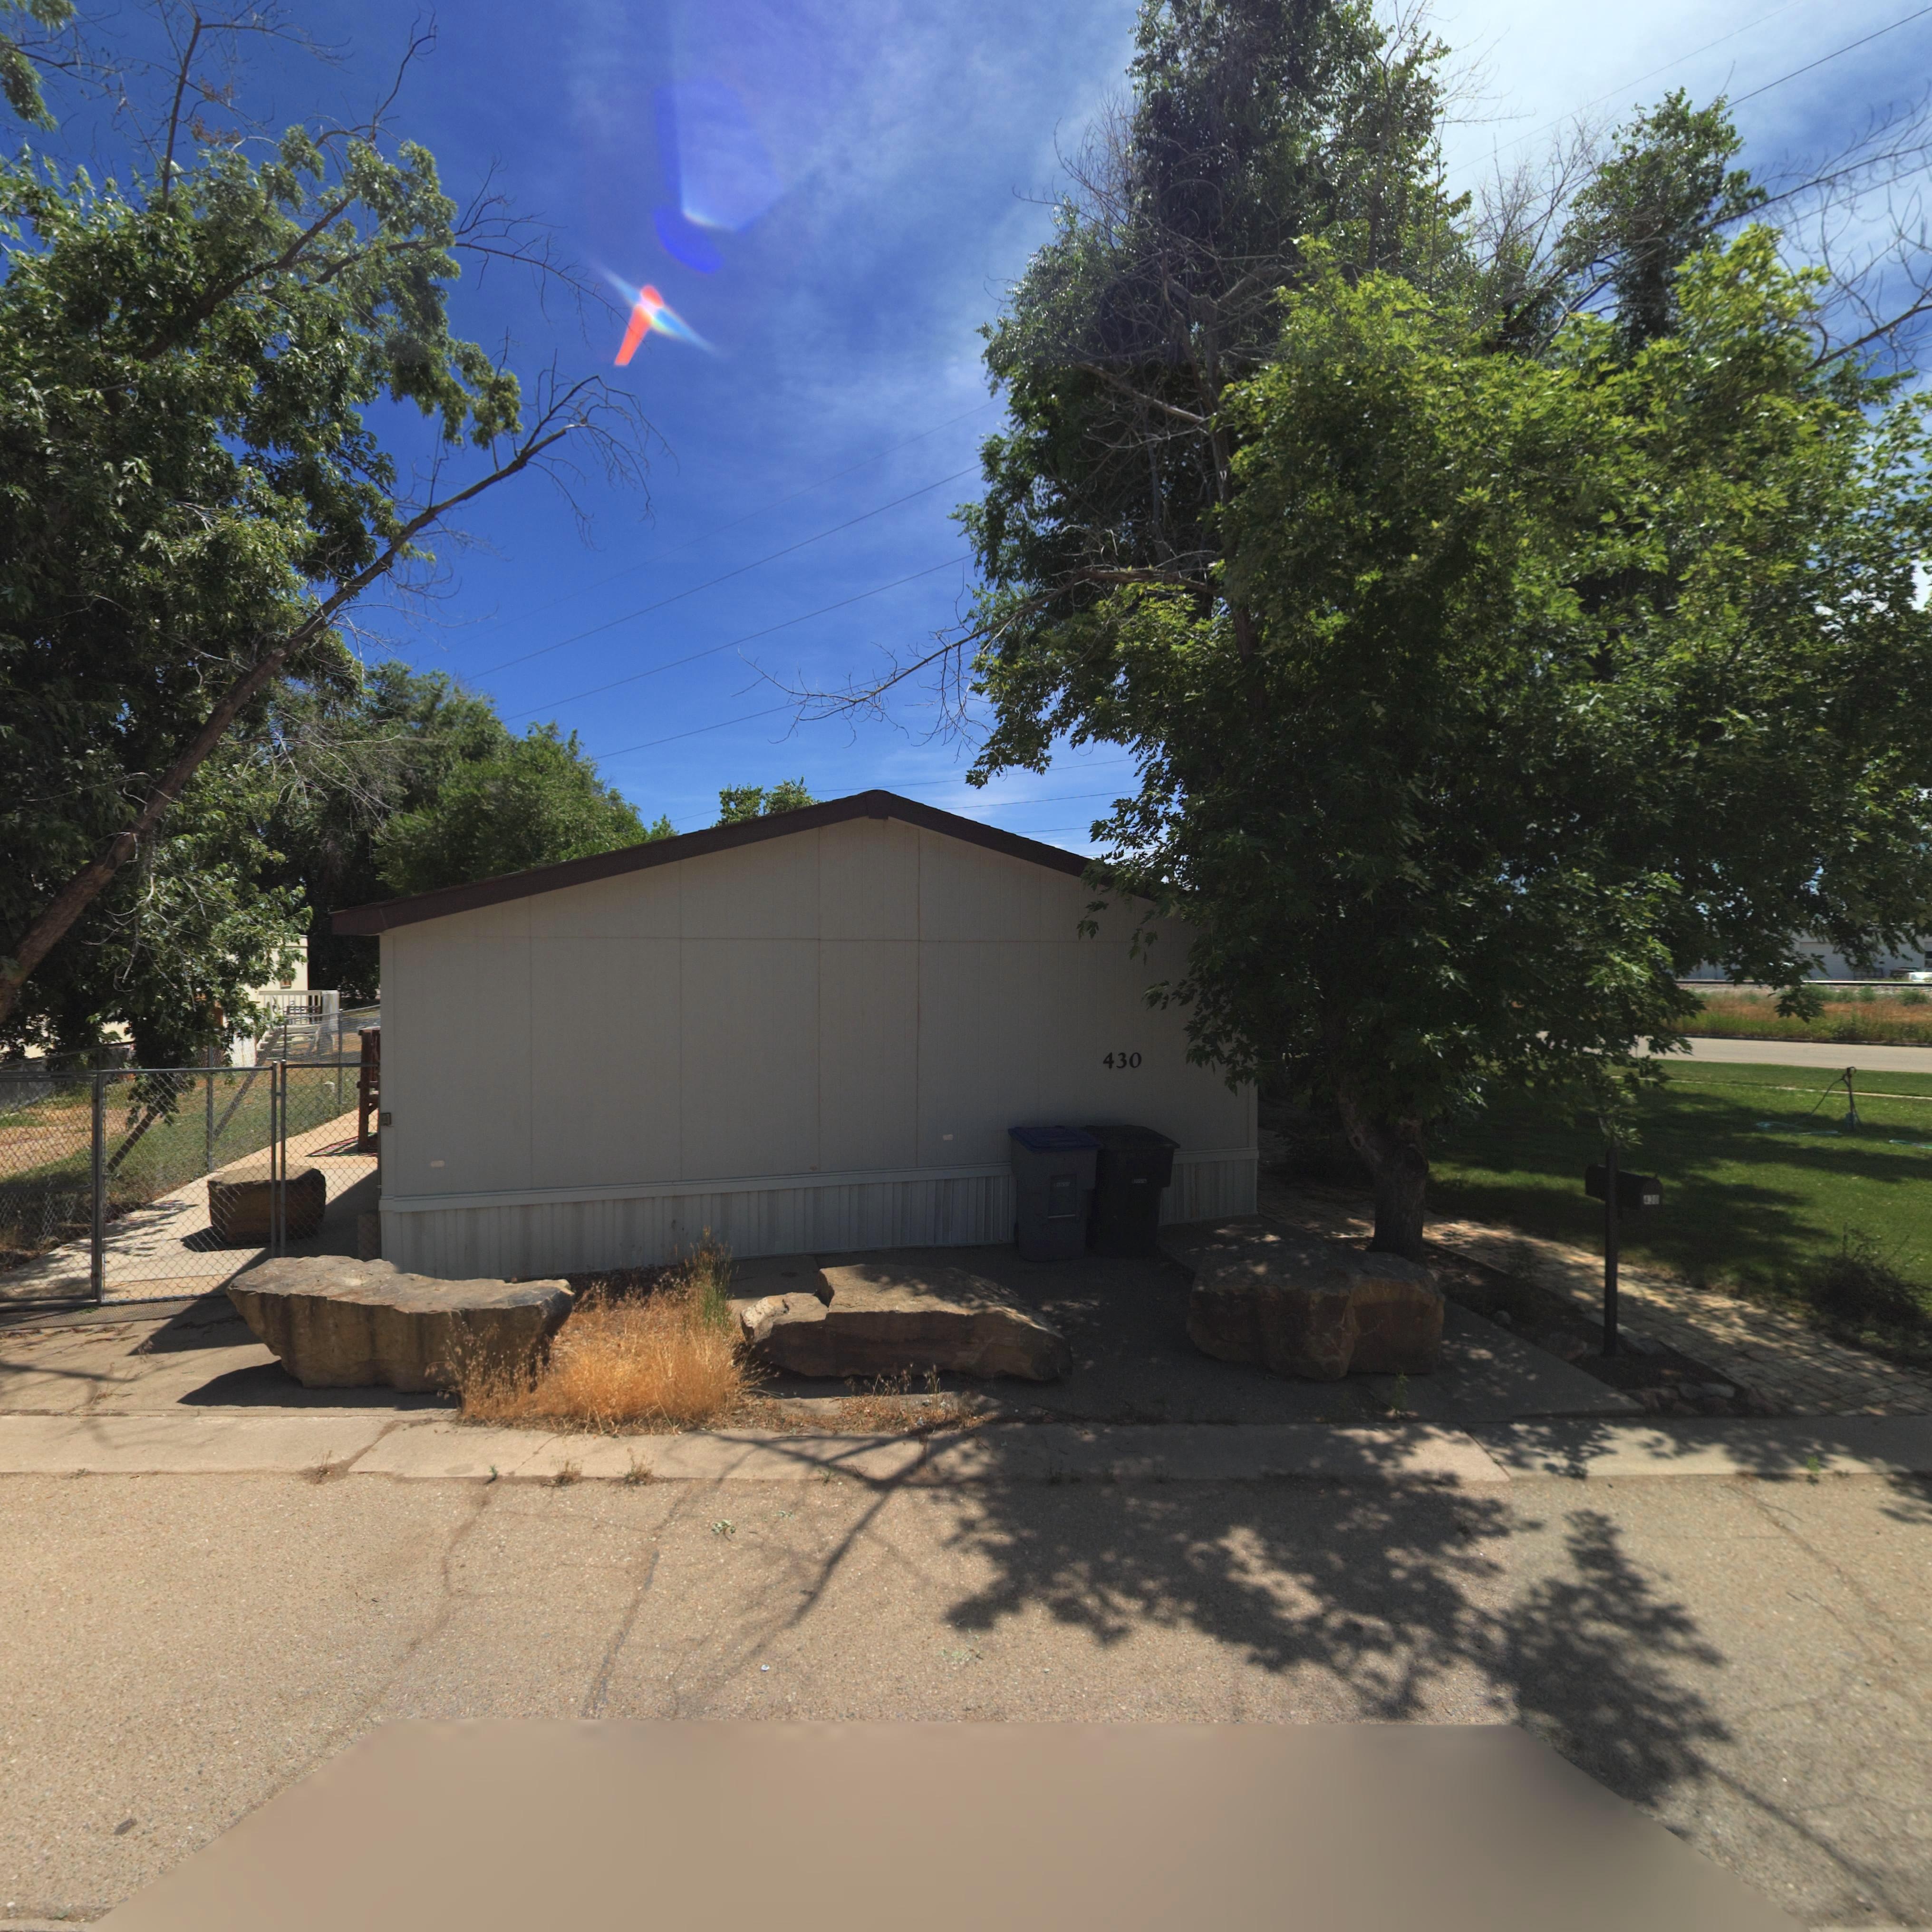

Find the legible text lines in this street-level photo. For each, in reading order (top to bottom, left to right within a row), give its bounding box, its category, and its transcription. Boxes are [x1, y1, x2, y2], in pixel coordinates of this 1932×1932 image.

[1102, 1052, 1142, 1069] StreetNumber: 430
[1643, 1195, 1659, 1204] StreetNumber: 4**